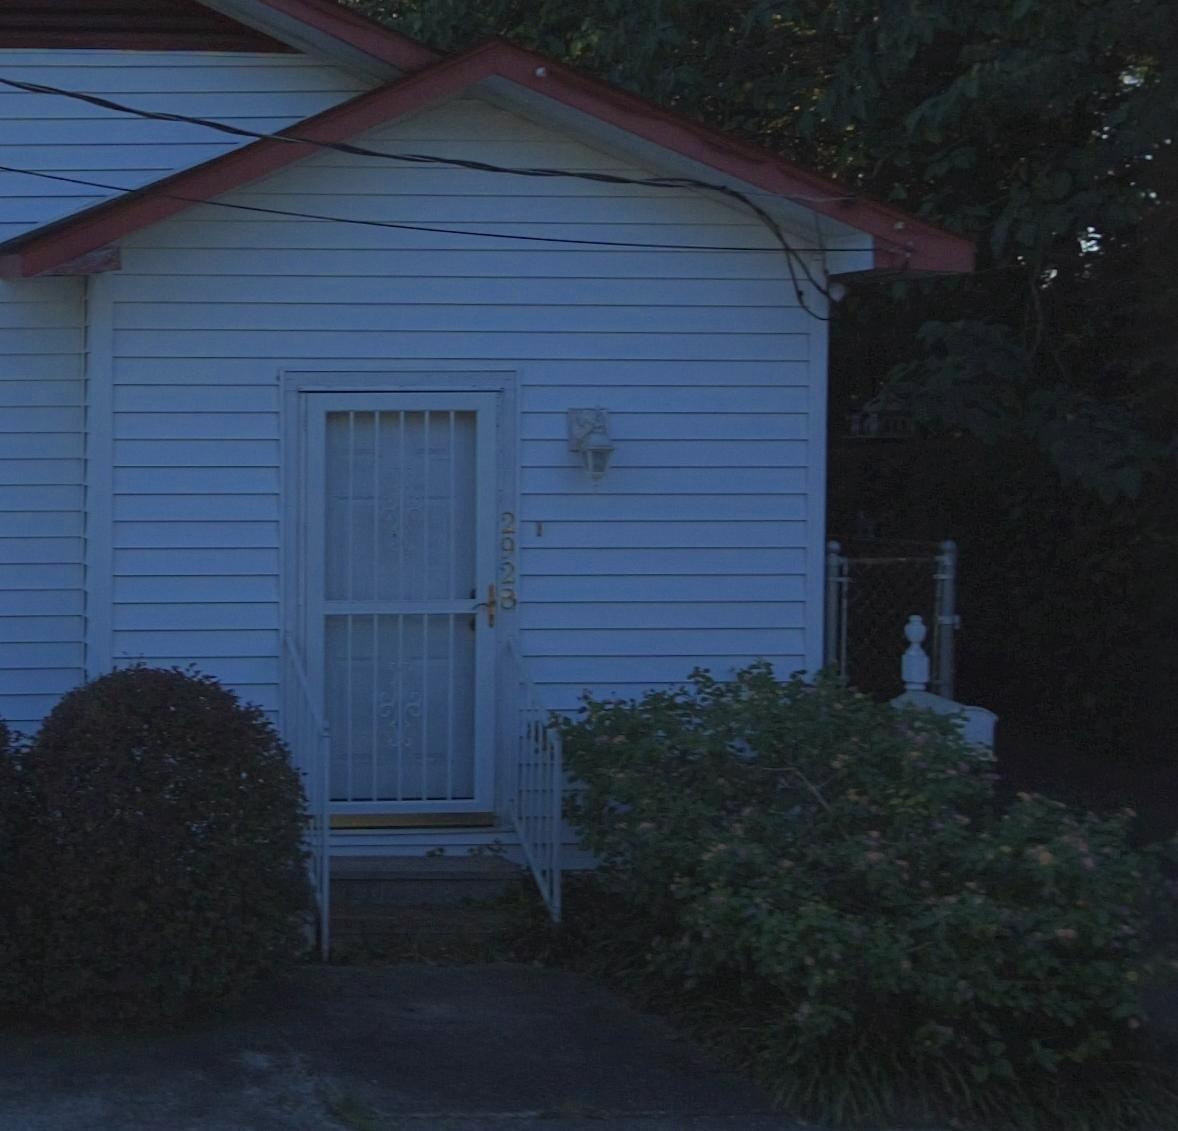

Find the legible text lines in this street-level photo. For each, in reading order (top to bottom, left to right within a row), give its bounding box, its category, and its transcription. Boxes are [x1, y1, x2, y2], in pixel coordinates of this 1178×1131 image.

[497, 509, 519, 612] StreetNumber: 2928